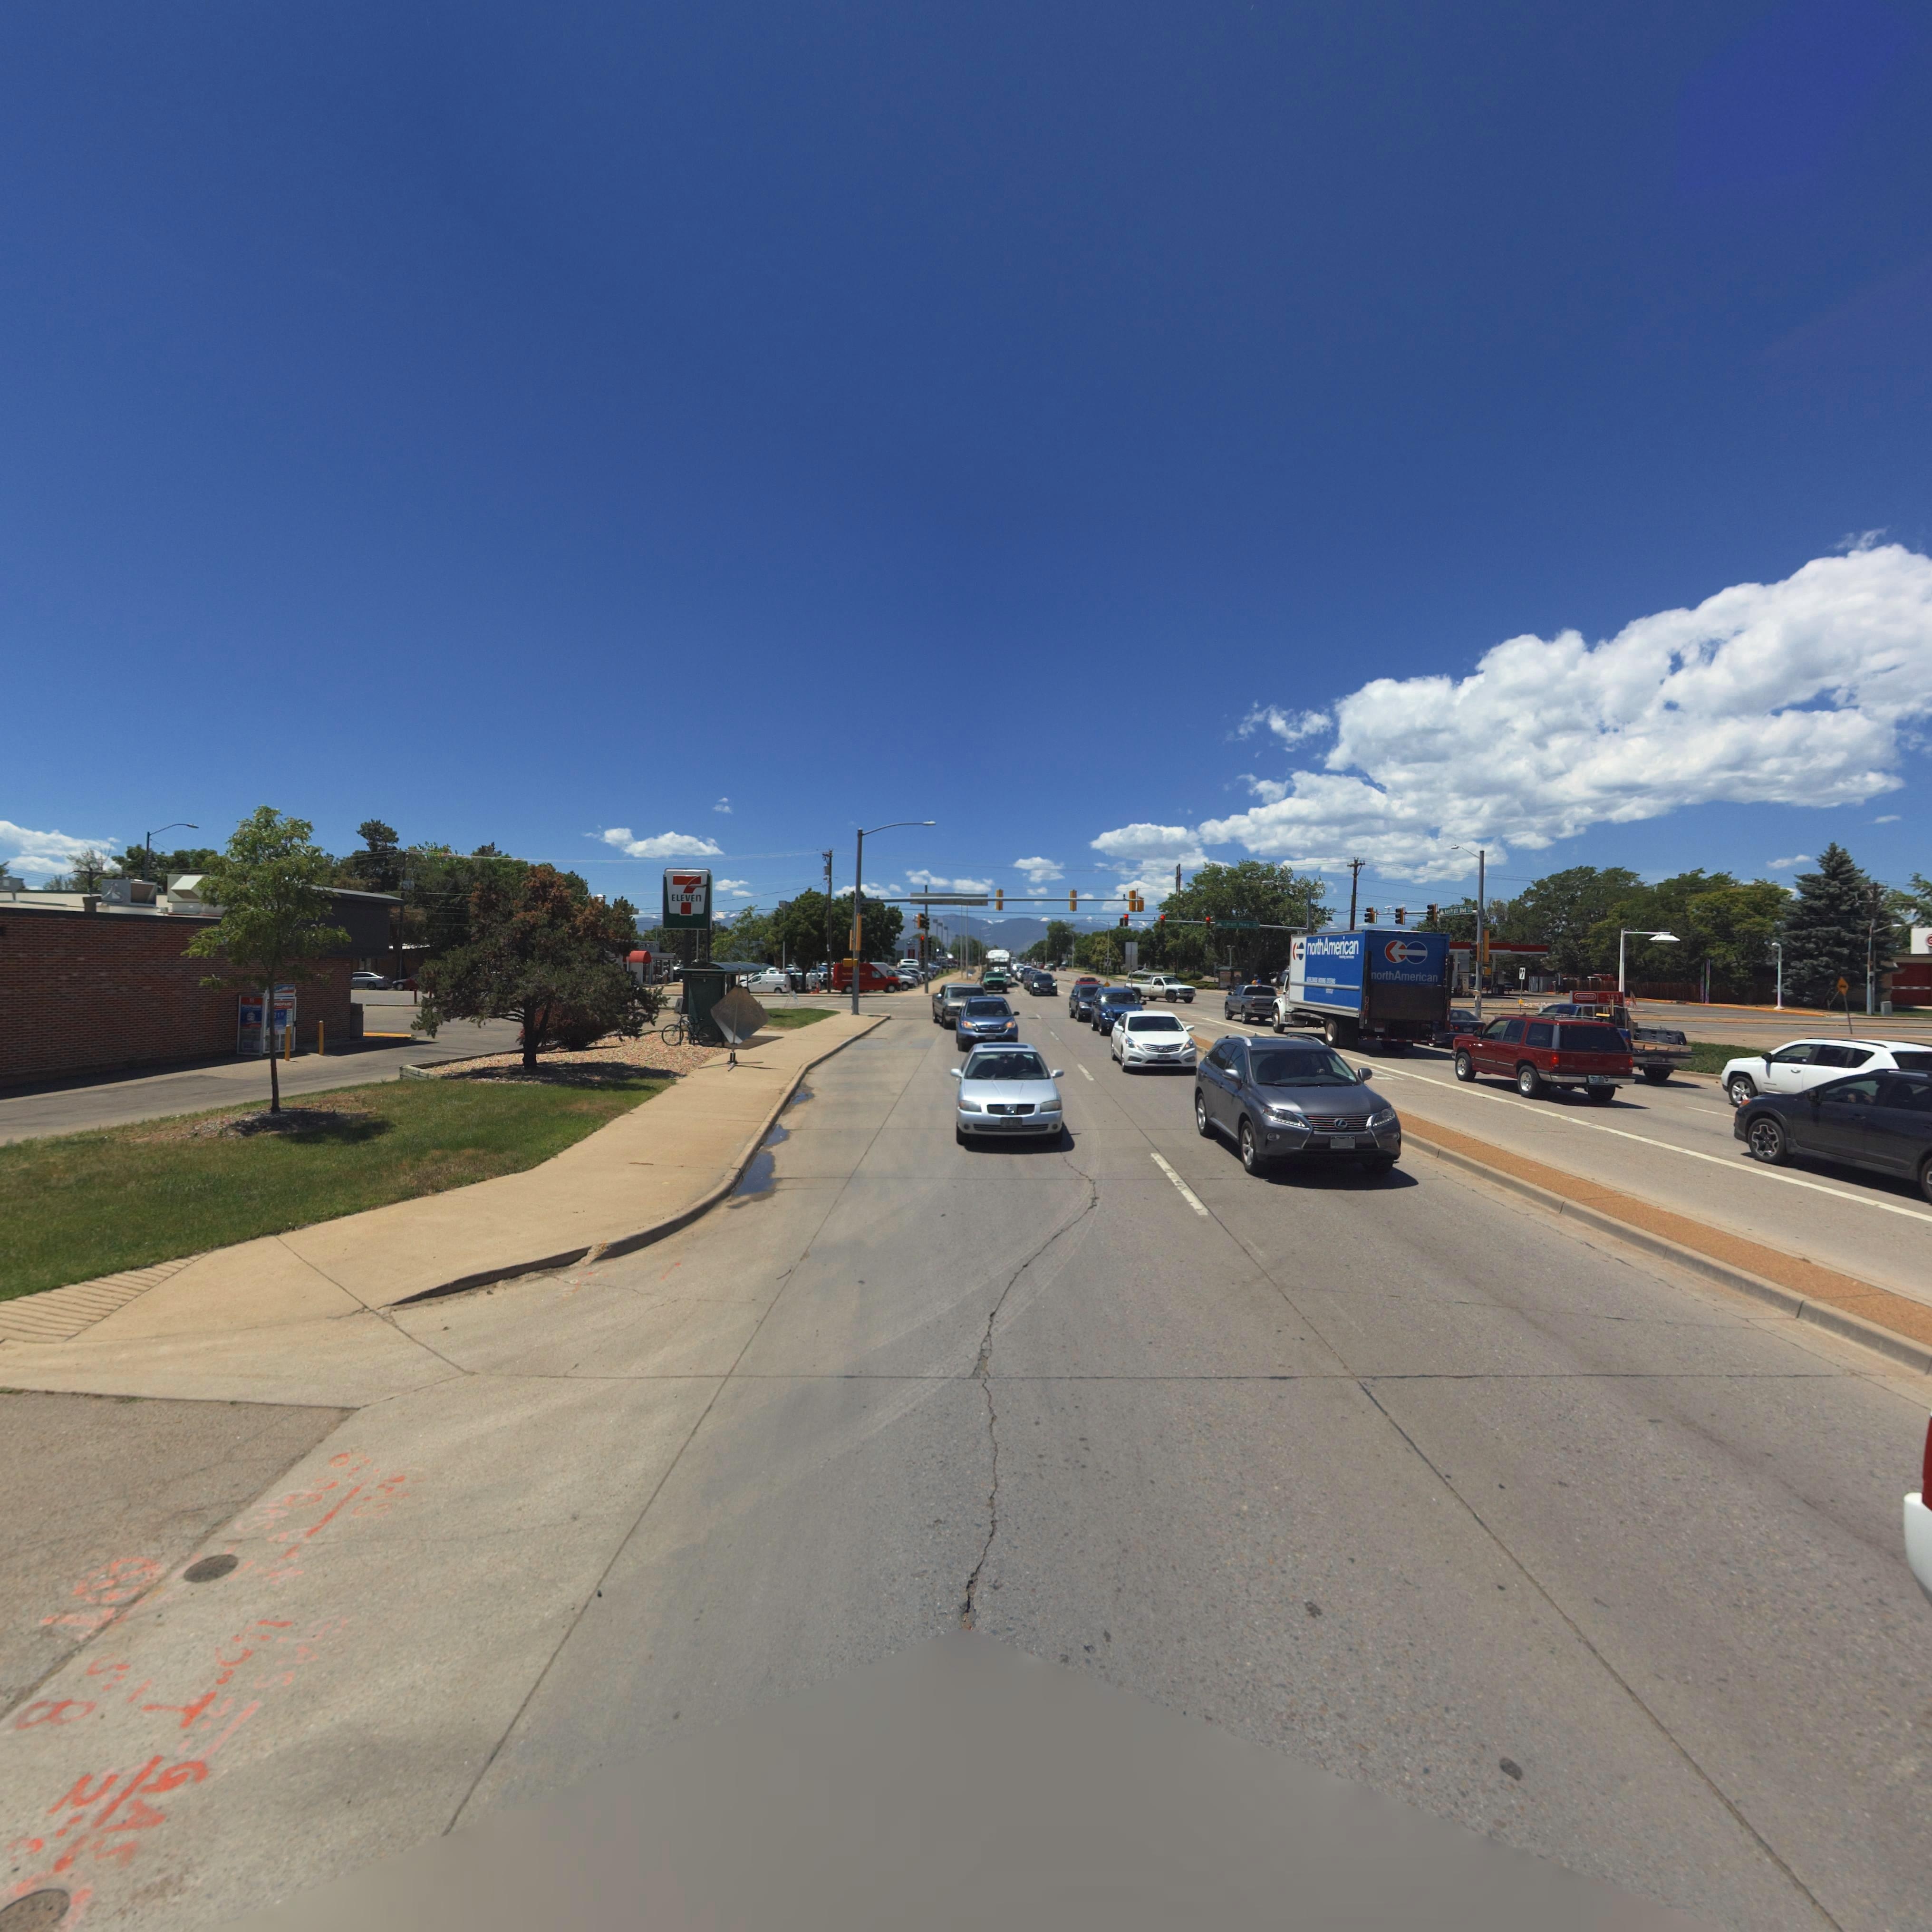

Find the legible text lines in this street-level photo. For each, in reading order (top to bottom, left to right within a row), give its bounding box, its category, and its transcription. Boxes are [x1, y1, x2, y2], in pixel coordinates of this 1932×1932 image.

[671, 894, 702, 902] BusinessName: ELEVEn
[673, 875, 701, 915] BusinessName: 7
[1226, 922, 1249, 927] StreetName: P***tt P**y
[1576, 994, 1594, 998] BusinessName: c**oco